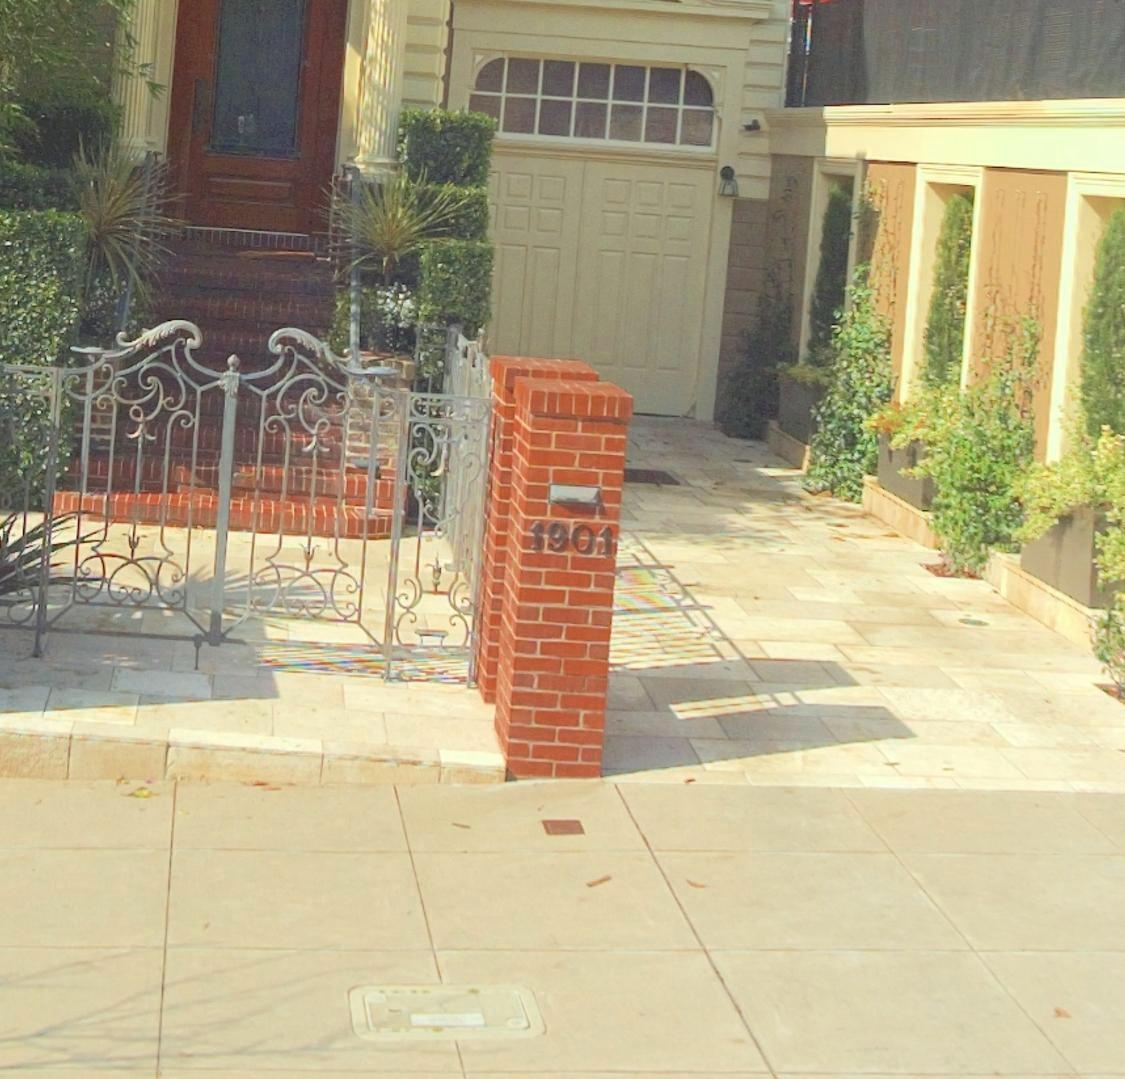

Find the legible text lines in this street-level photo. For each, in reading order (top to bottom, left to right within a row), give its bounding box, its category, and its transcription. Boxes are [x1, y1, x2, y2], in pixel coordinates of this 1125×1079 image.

[528, 519, 613, 558] StreetNumber: 1901